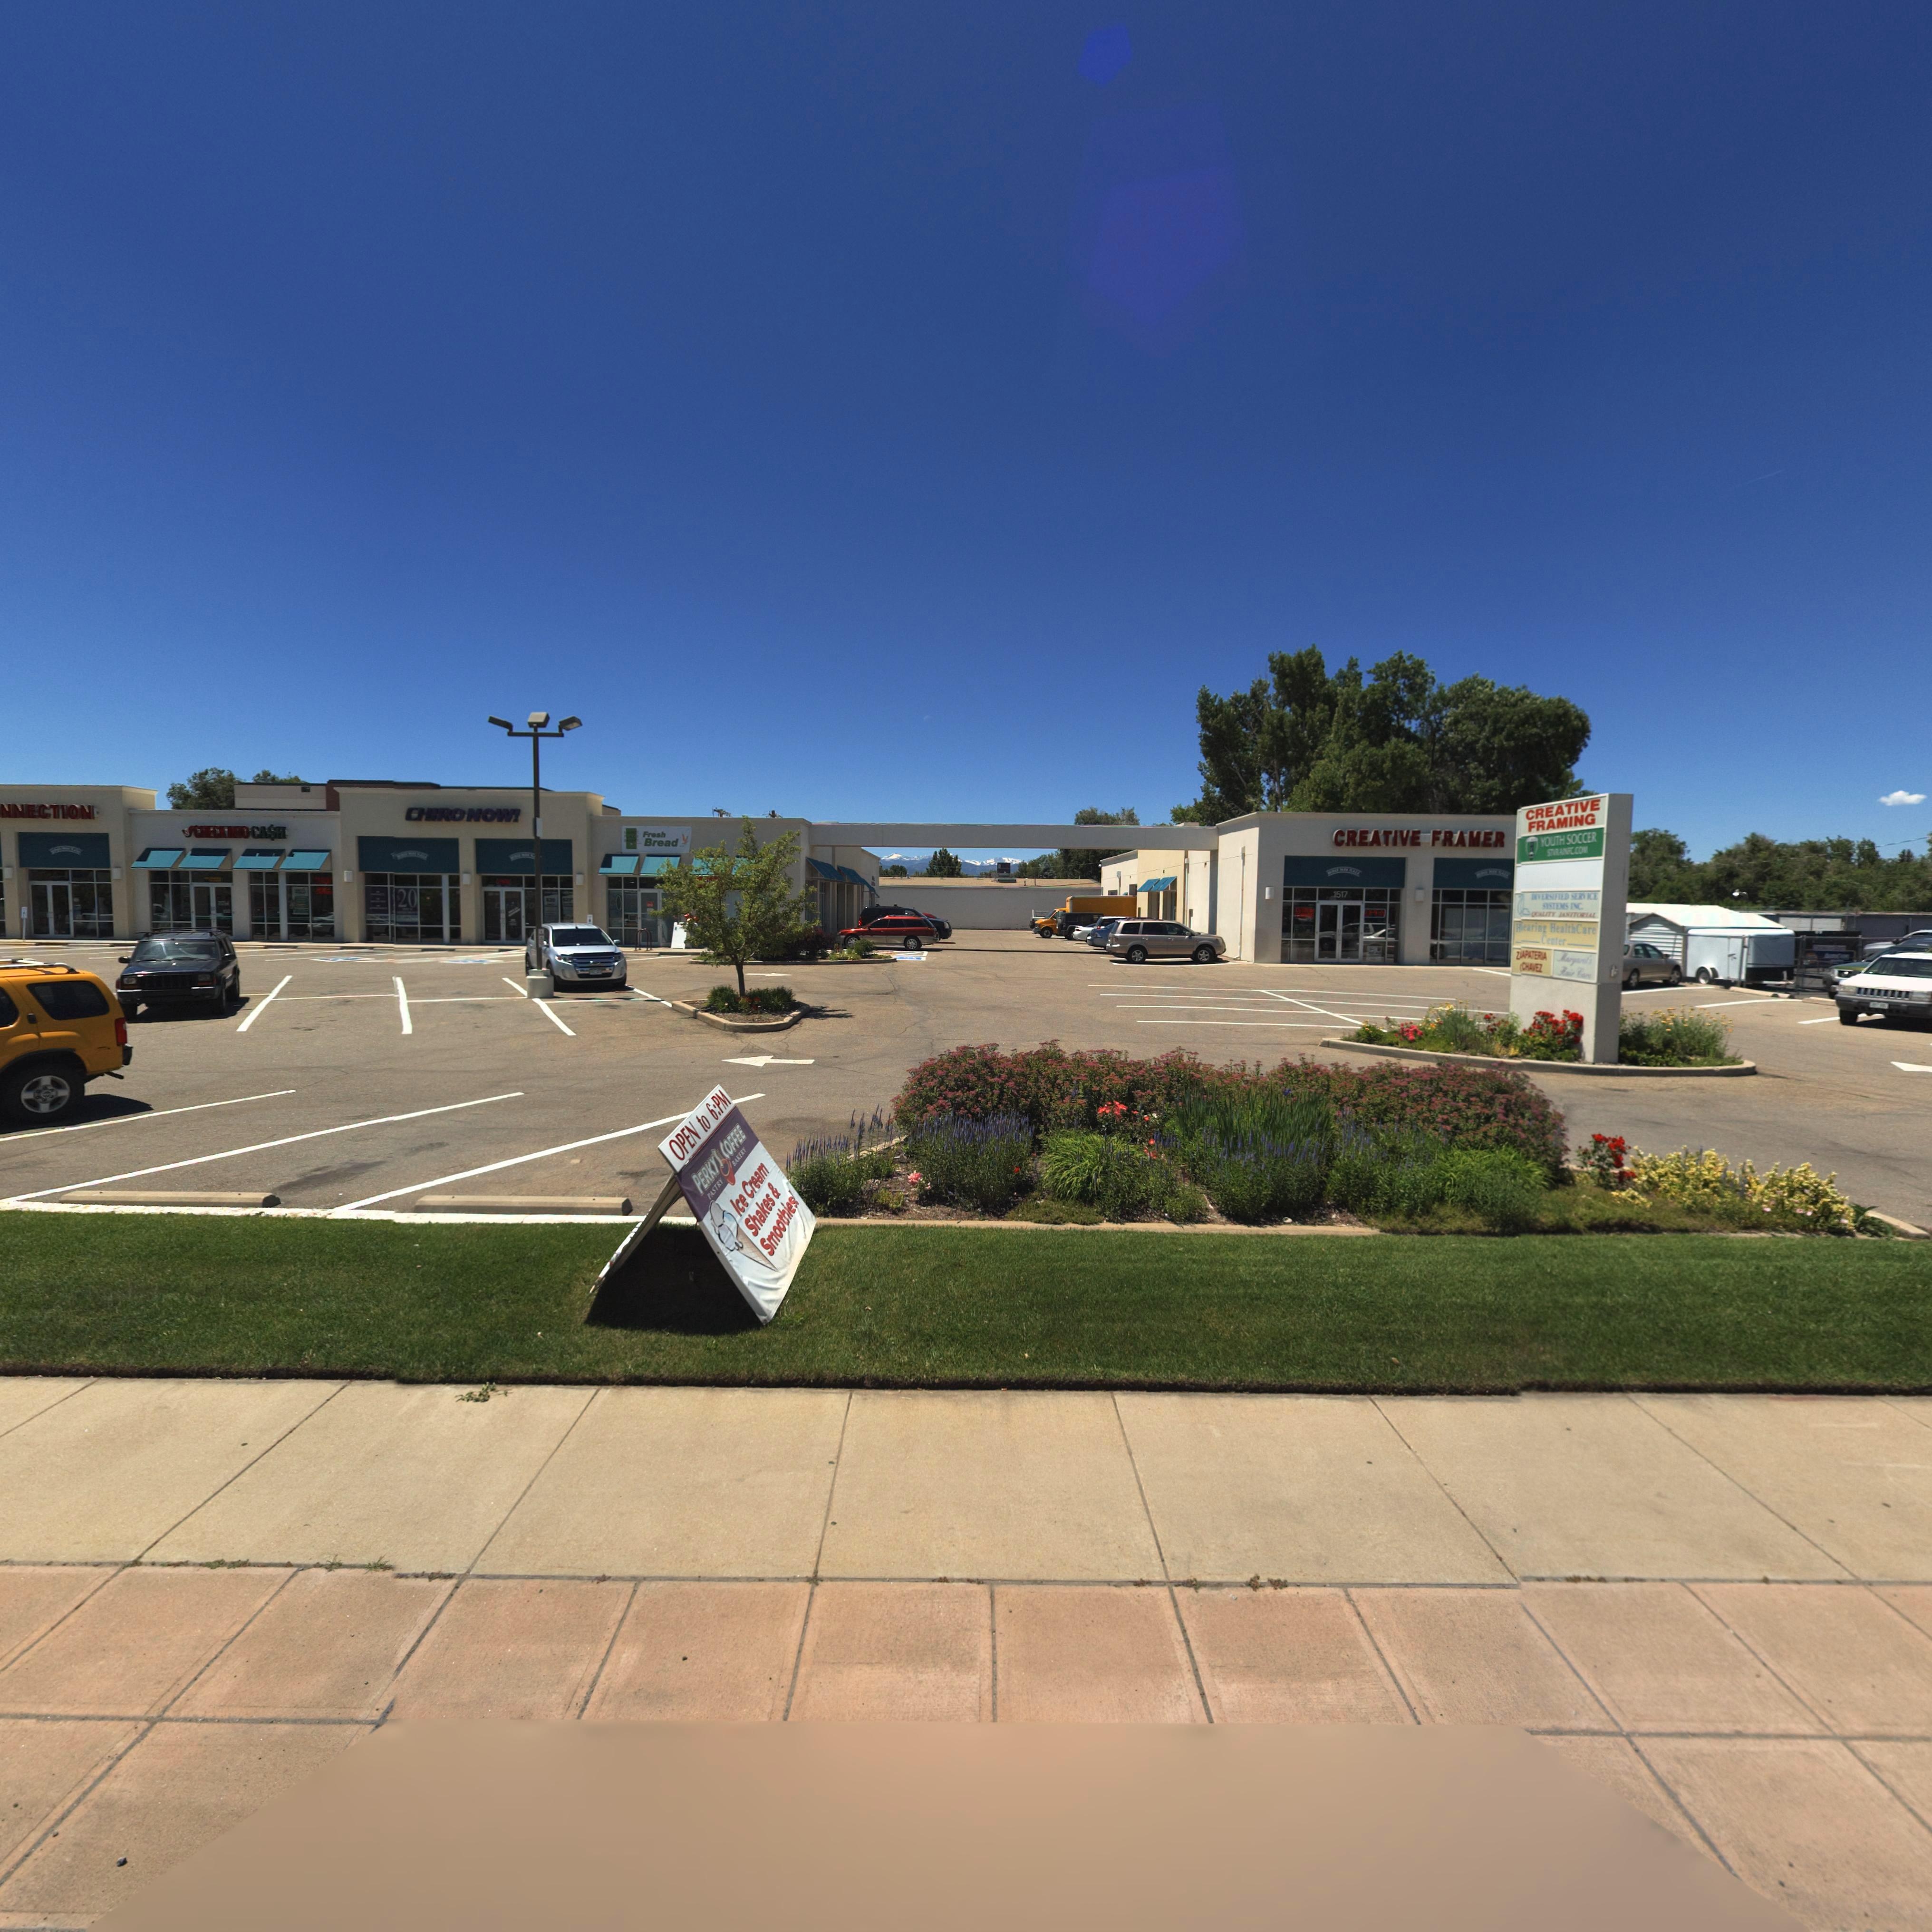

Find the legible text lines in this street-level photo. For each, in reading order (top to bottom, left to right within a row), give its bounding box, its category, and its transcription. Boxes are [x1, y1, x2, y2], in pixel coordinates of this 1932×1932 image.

[404, 805, 521, 823] BusinessName: CHIRO NOW!
[1525, 798, 1601, 821] BusinessName: CREATIVE
[1527, 812, 1596, 832] BusinessName: FRAMING
[181, 824, 287, 840] BusinessName: *CHAECK INTO CASH
[1334, 829, 1506, 848] BusinessName: CREATIVE FRAMER
[1539, 831, 1597, 847] BusinessName: YOUTH SOCCER
[1333, 890, 1348, 898] StreetNumber: 1517
[1530, 891, 1599, 900] BusinessName: INVERSIFIED SERVICE
[1542, 901, 1584, 910] BusinessName: SYSTEMS INC.
[1516, 921, 1596, 935] BusinessName: H*earing HealthCare
[1540, 934, 1567, 947] BusinessName: Center
[1515, 949, 1548, 961] BusinessName: Z*APATERIA
[1555, 950, 1593, 966] BusinessName: Margaret's
[1519, 961, 1543, 973] BusinessName: *CHAVEZ
[1556, 965, 1592, 980] BusinessName: Hair Care